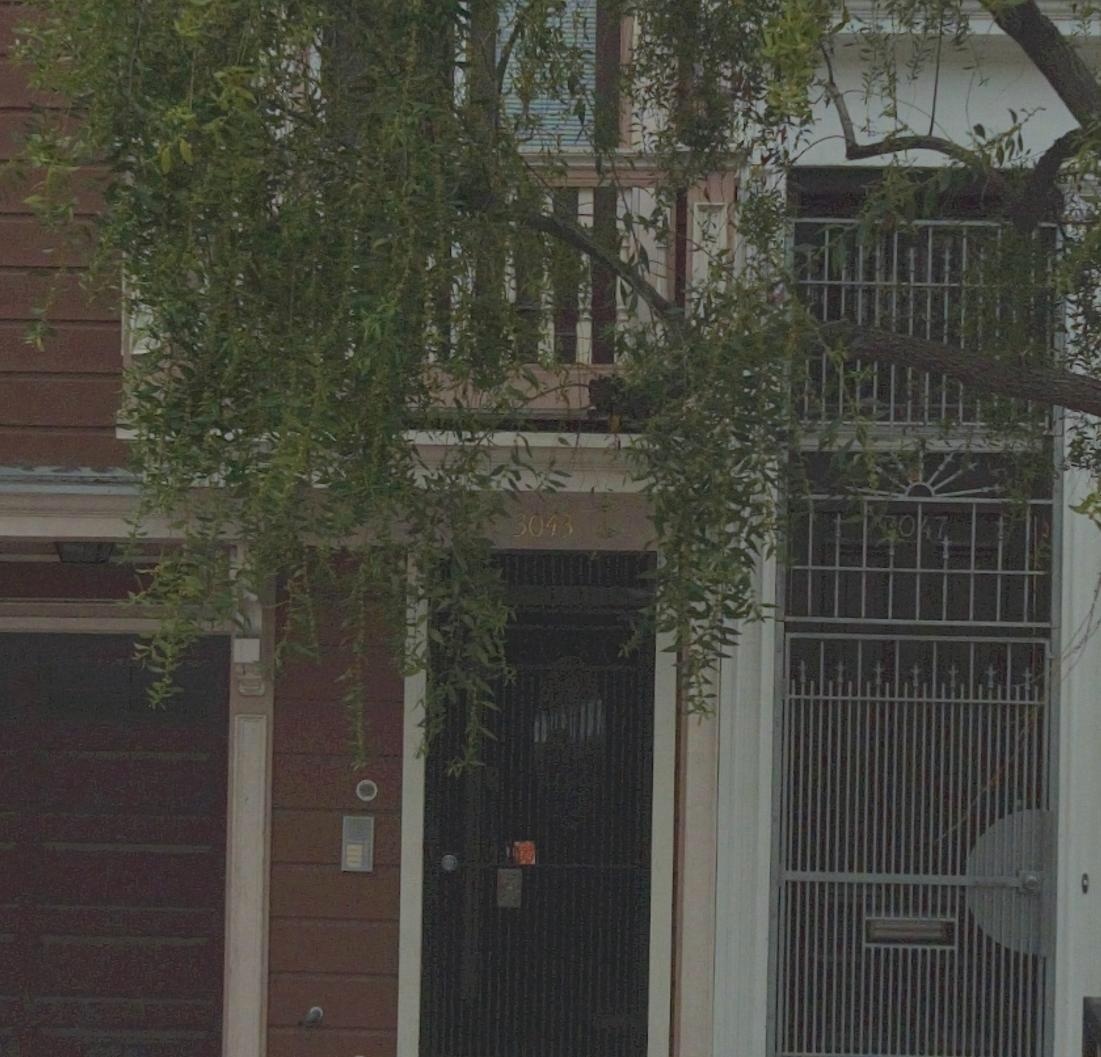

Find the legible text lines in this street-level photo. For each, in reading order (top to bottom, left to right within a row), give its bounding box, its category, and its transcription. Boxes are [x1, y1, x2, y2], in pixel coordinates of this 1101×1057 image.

[510, 510, 576, 540] StreetNumber: 3043
[880, 514, 950, 541] StreetNumber: *047